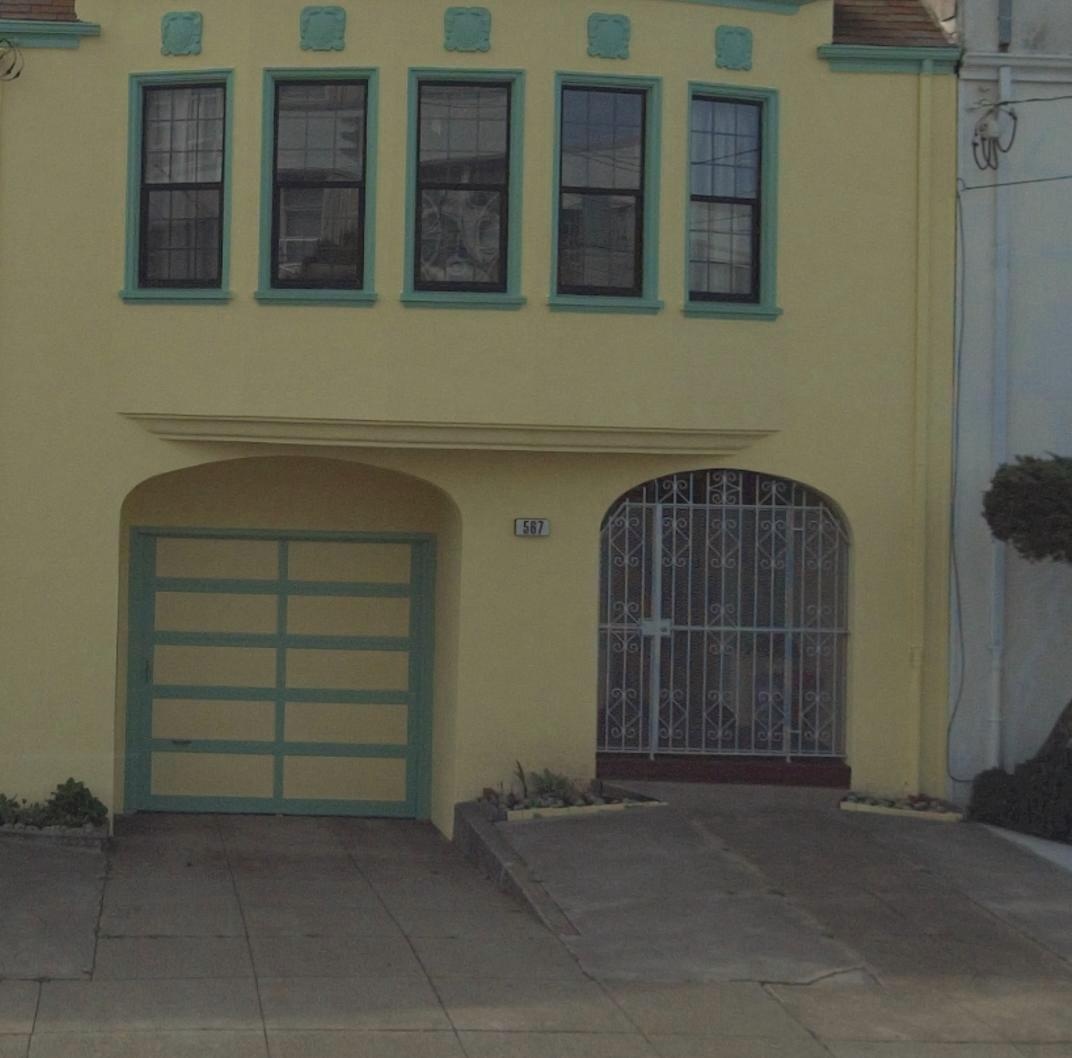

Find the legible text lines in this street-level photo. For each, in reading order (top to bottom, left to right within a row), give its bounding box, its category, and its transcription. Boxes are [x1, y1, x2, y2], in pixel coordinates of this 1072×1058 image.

[521, 519, 546, 536] StreetNumber: 567